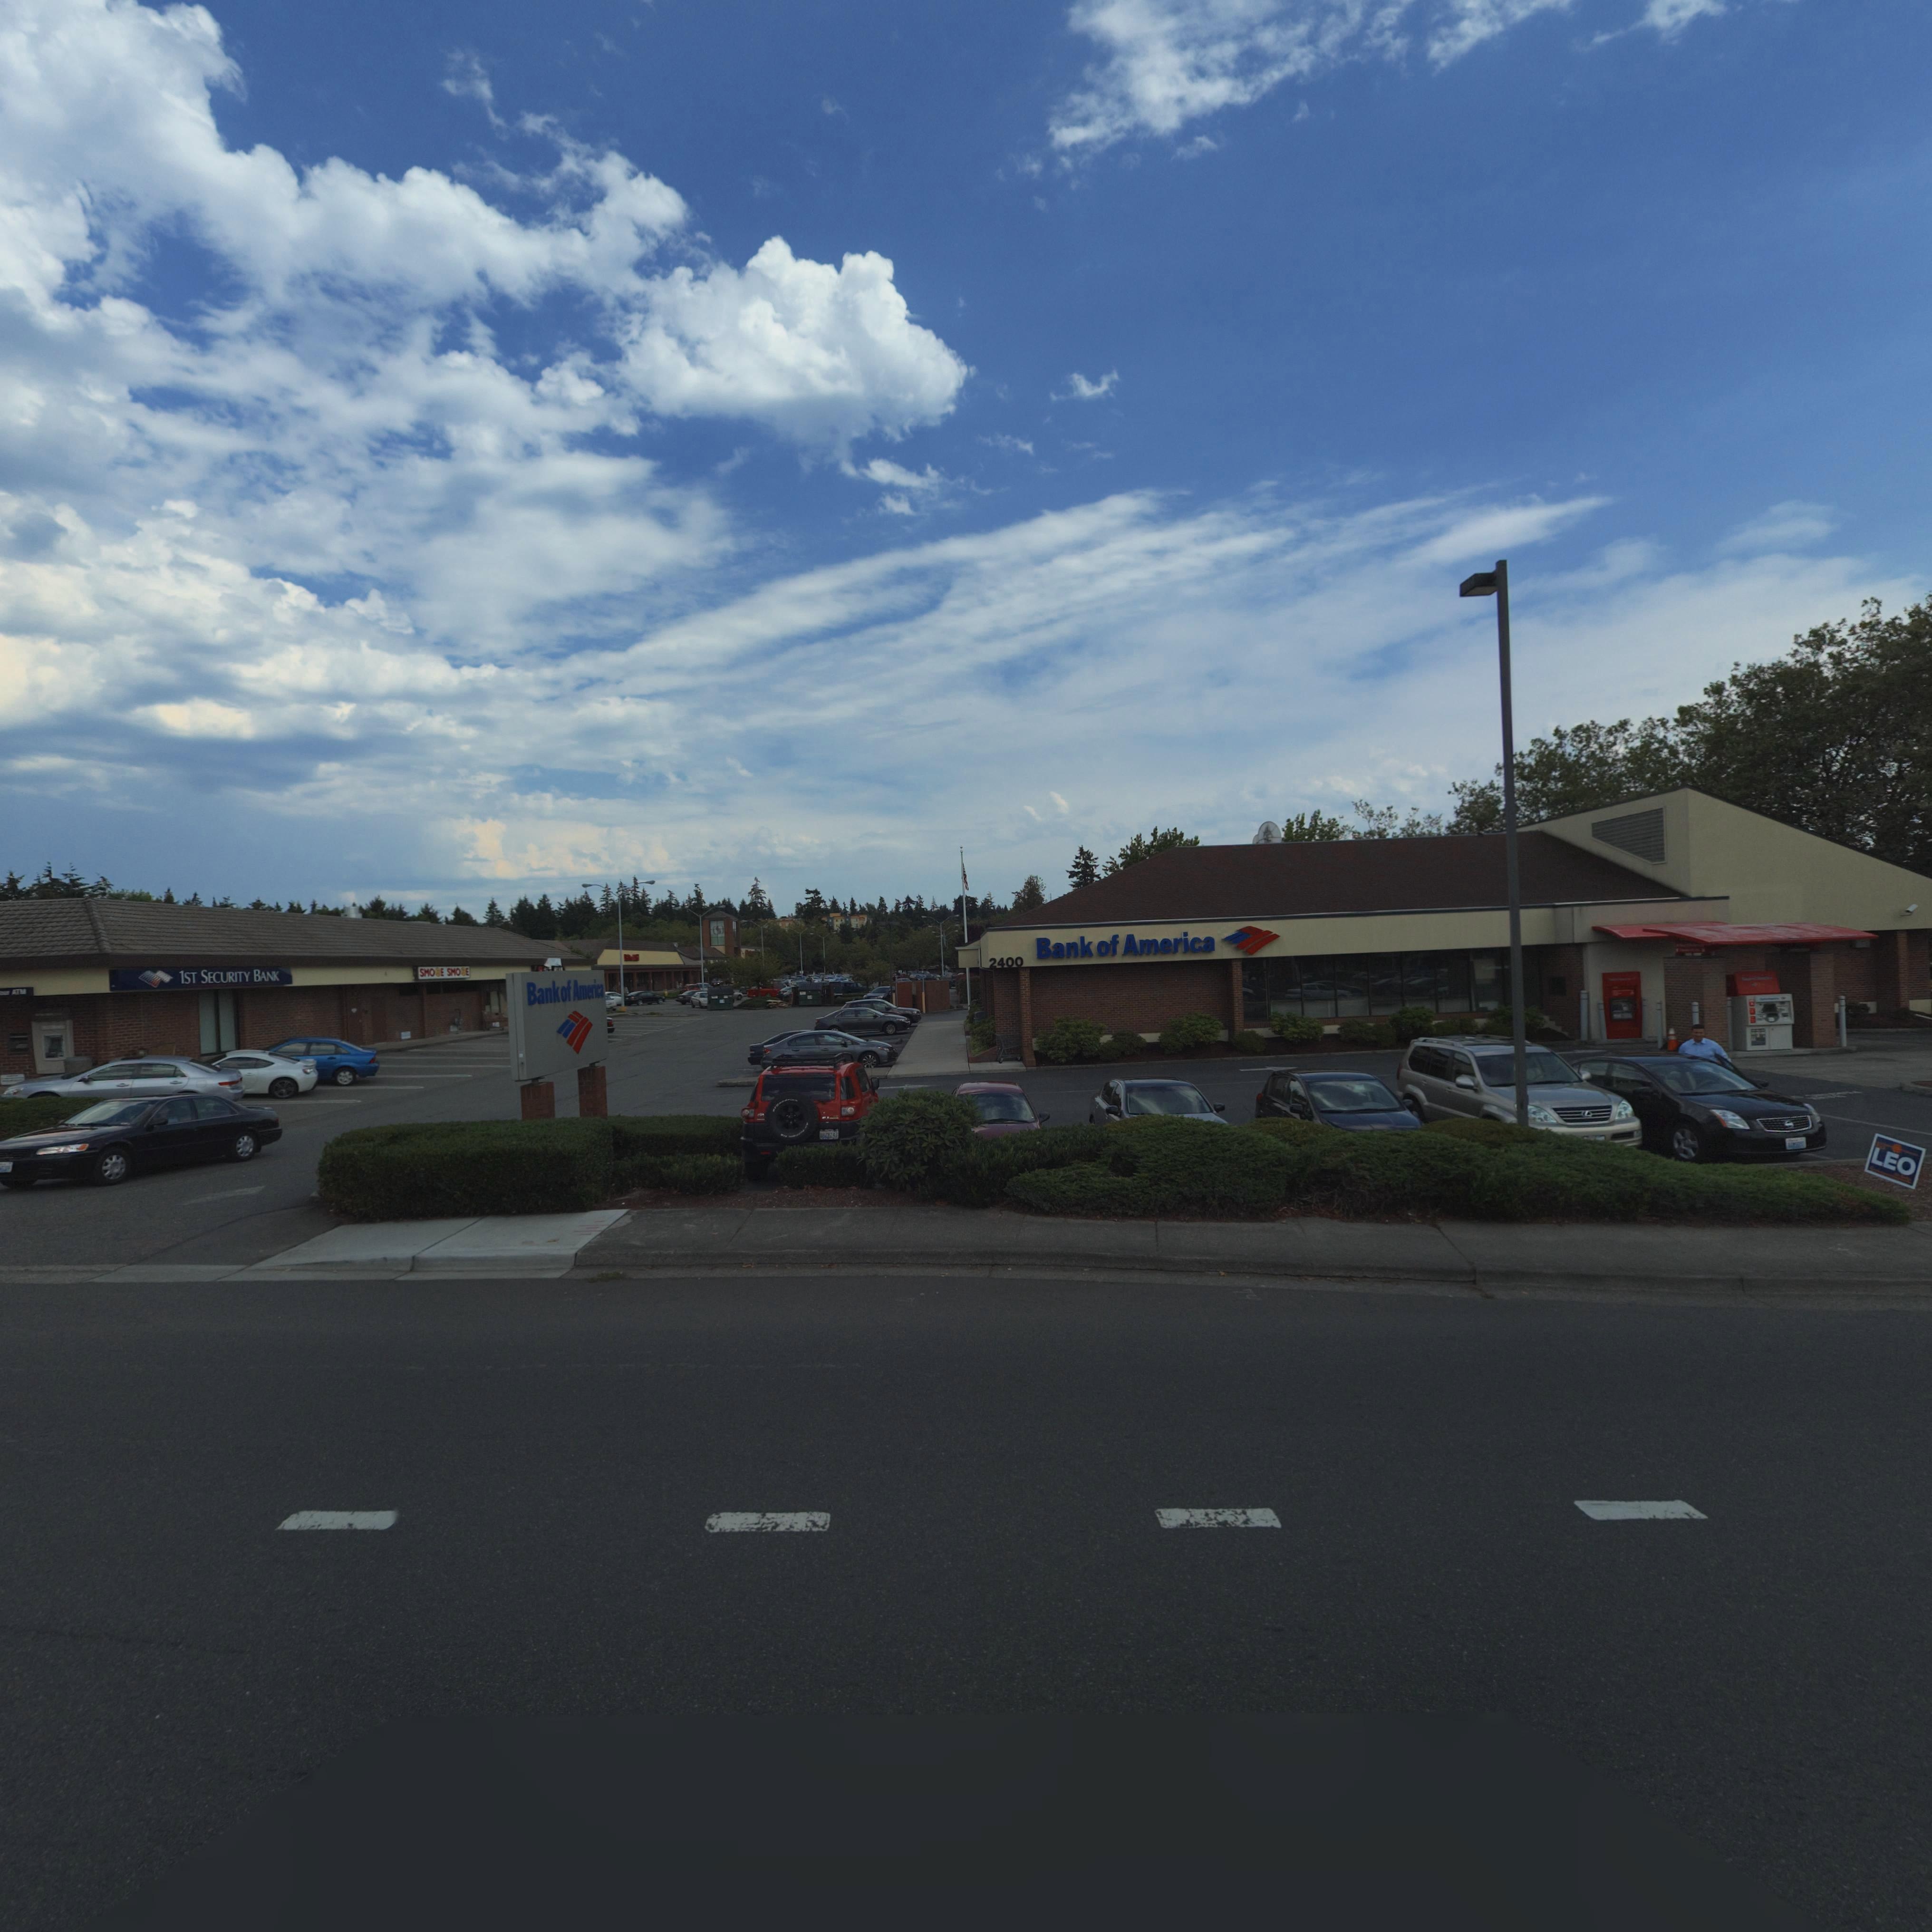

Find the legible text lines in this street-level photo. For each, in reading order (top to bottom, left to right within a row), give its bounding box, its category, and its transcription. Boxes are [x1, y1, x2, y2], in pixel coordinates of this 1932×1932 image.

[1035, 931, 1216, 959] BusinessName: Bank of America
[988, 956, 1024, 968] BusinessName: 2400
[178, 968, 280, 984] BusinessName: 1ST SECURITY BANK
[419, 966, 470, 977] BusinessName: SMO*E SMO*E
[526, 978, 605, 1006] BusinessName: Bank of America